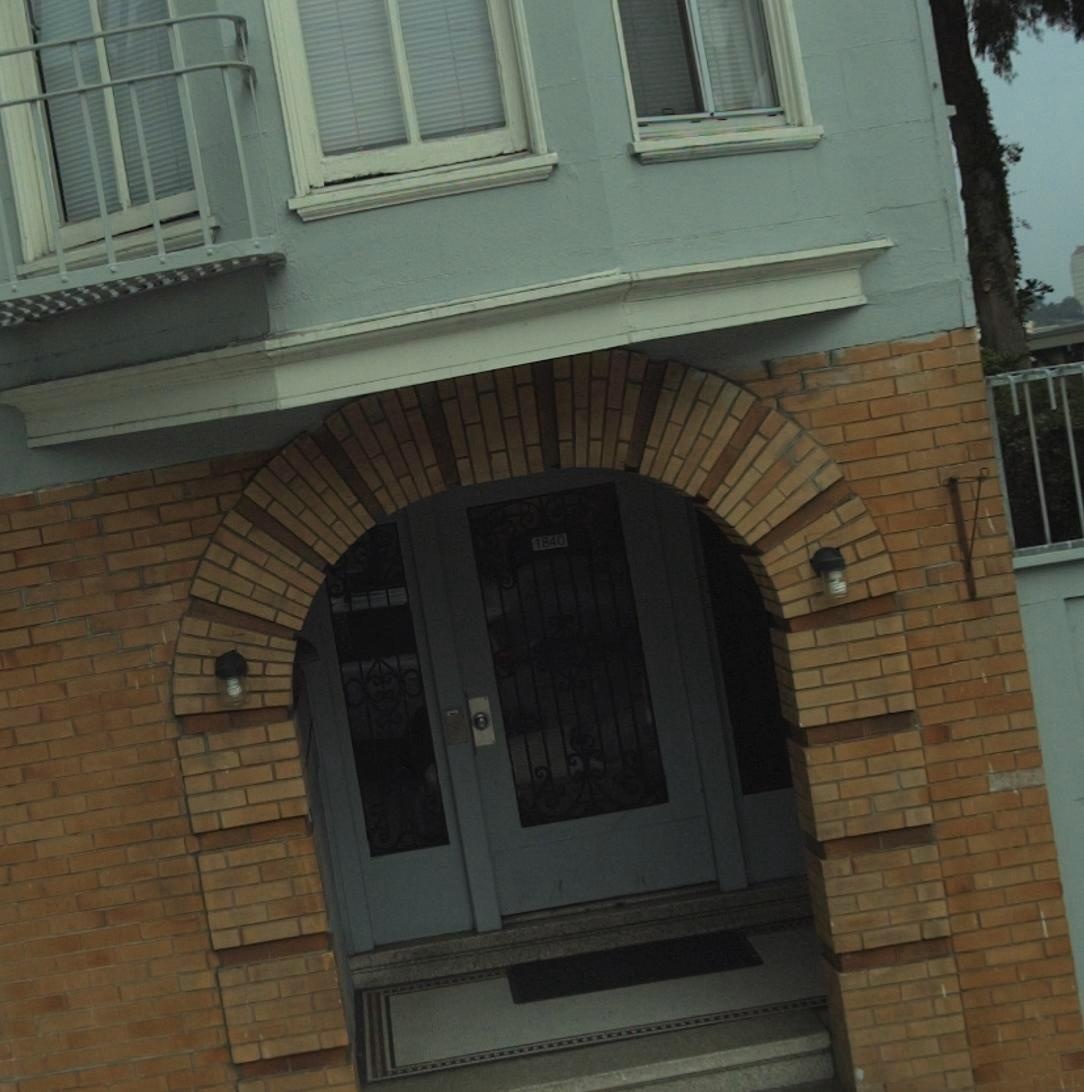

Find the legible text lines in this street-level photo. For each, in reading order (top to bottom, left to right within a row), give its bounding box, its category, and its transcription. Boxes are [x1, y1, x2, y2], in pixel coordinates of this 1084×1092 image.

[534, 533, 567, 550] StreetNumber: 1840